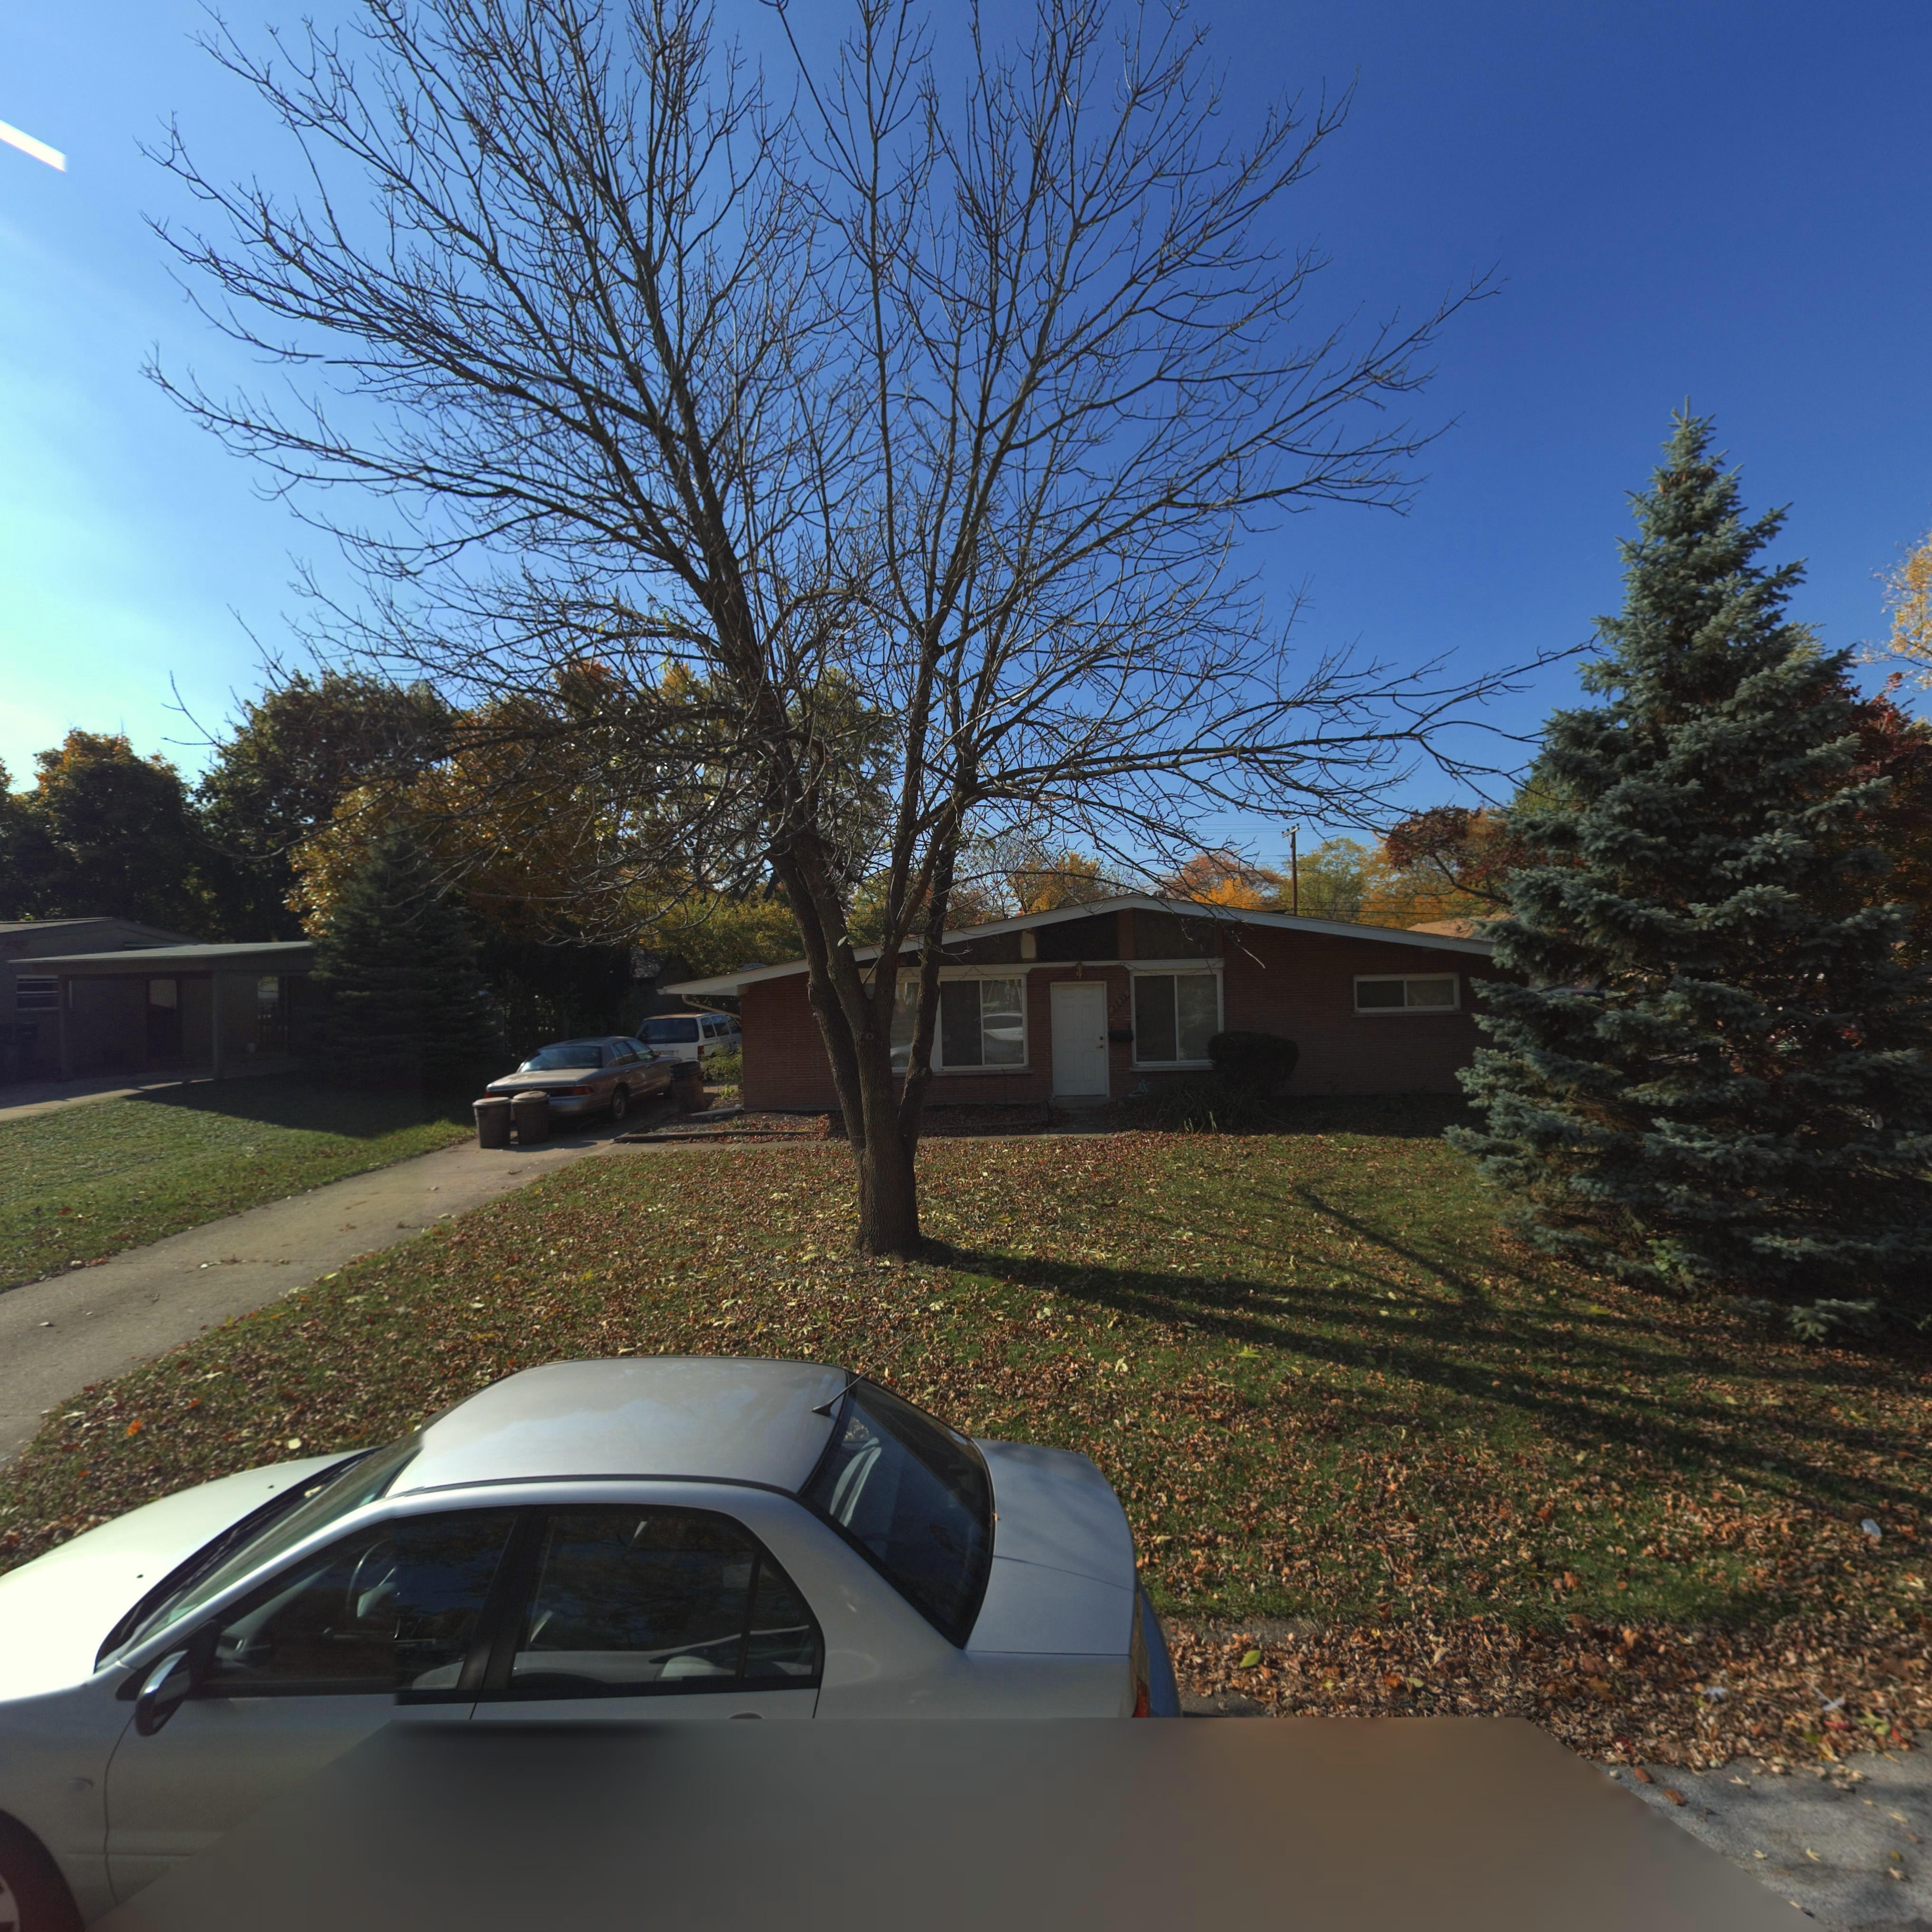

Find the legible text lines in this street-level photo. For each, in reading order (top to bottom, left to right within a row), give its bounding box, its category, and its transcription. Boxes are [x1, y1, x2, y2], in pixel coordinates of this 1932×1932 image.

[1111, 992, 1128, 1013] StreetNumber: 3839